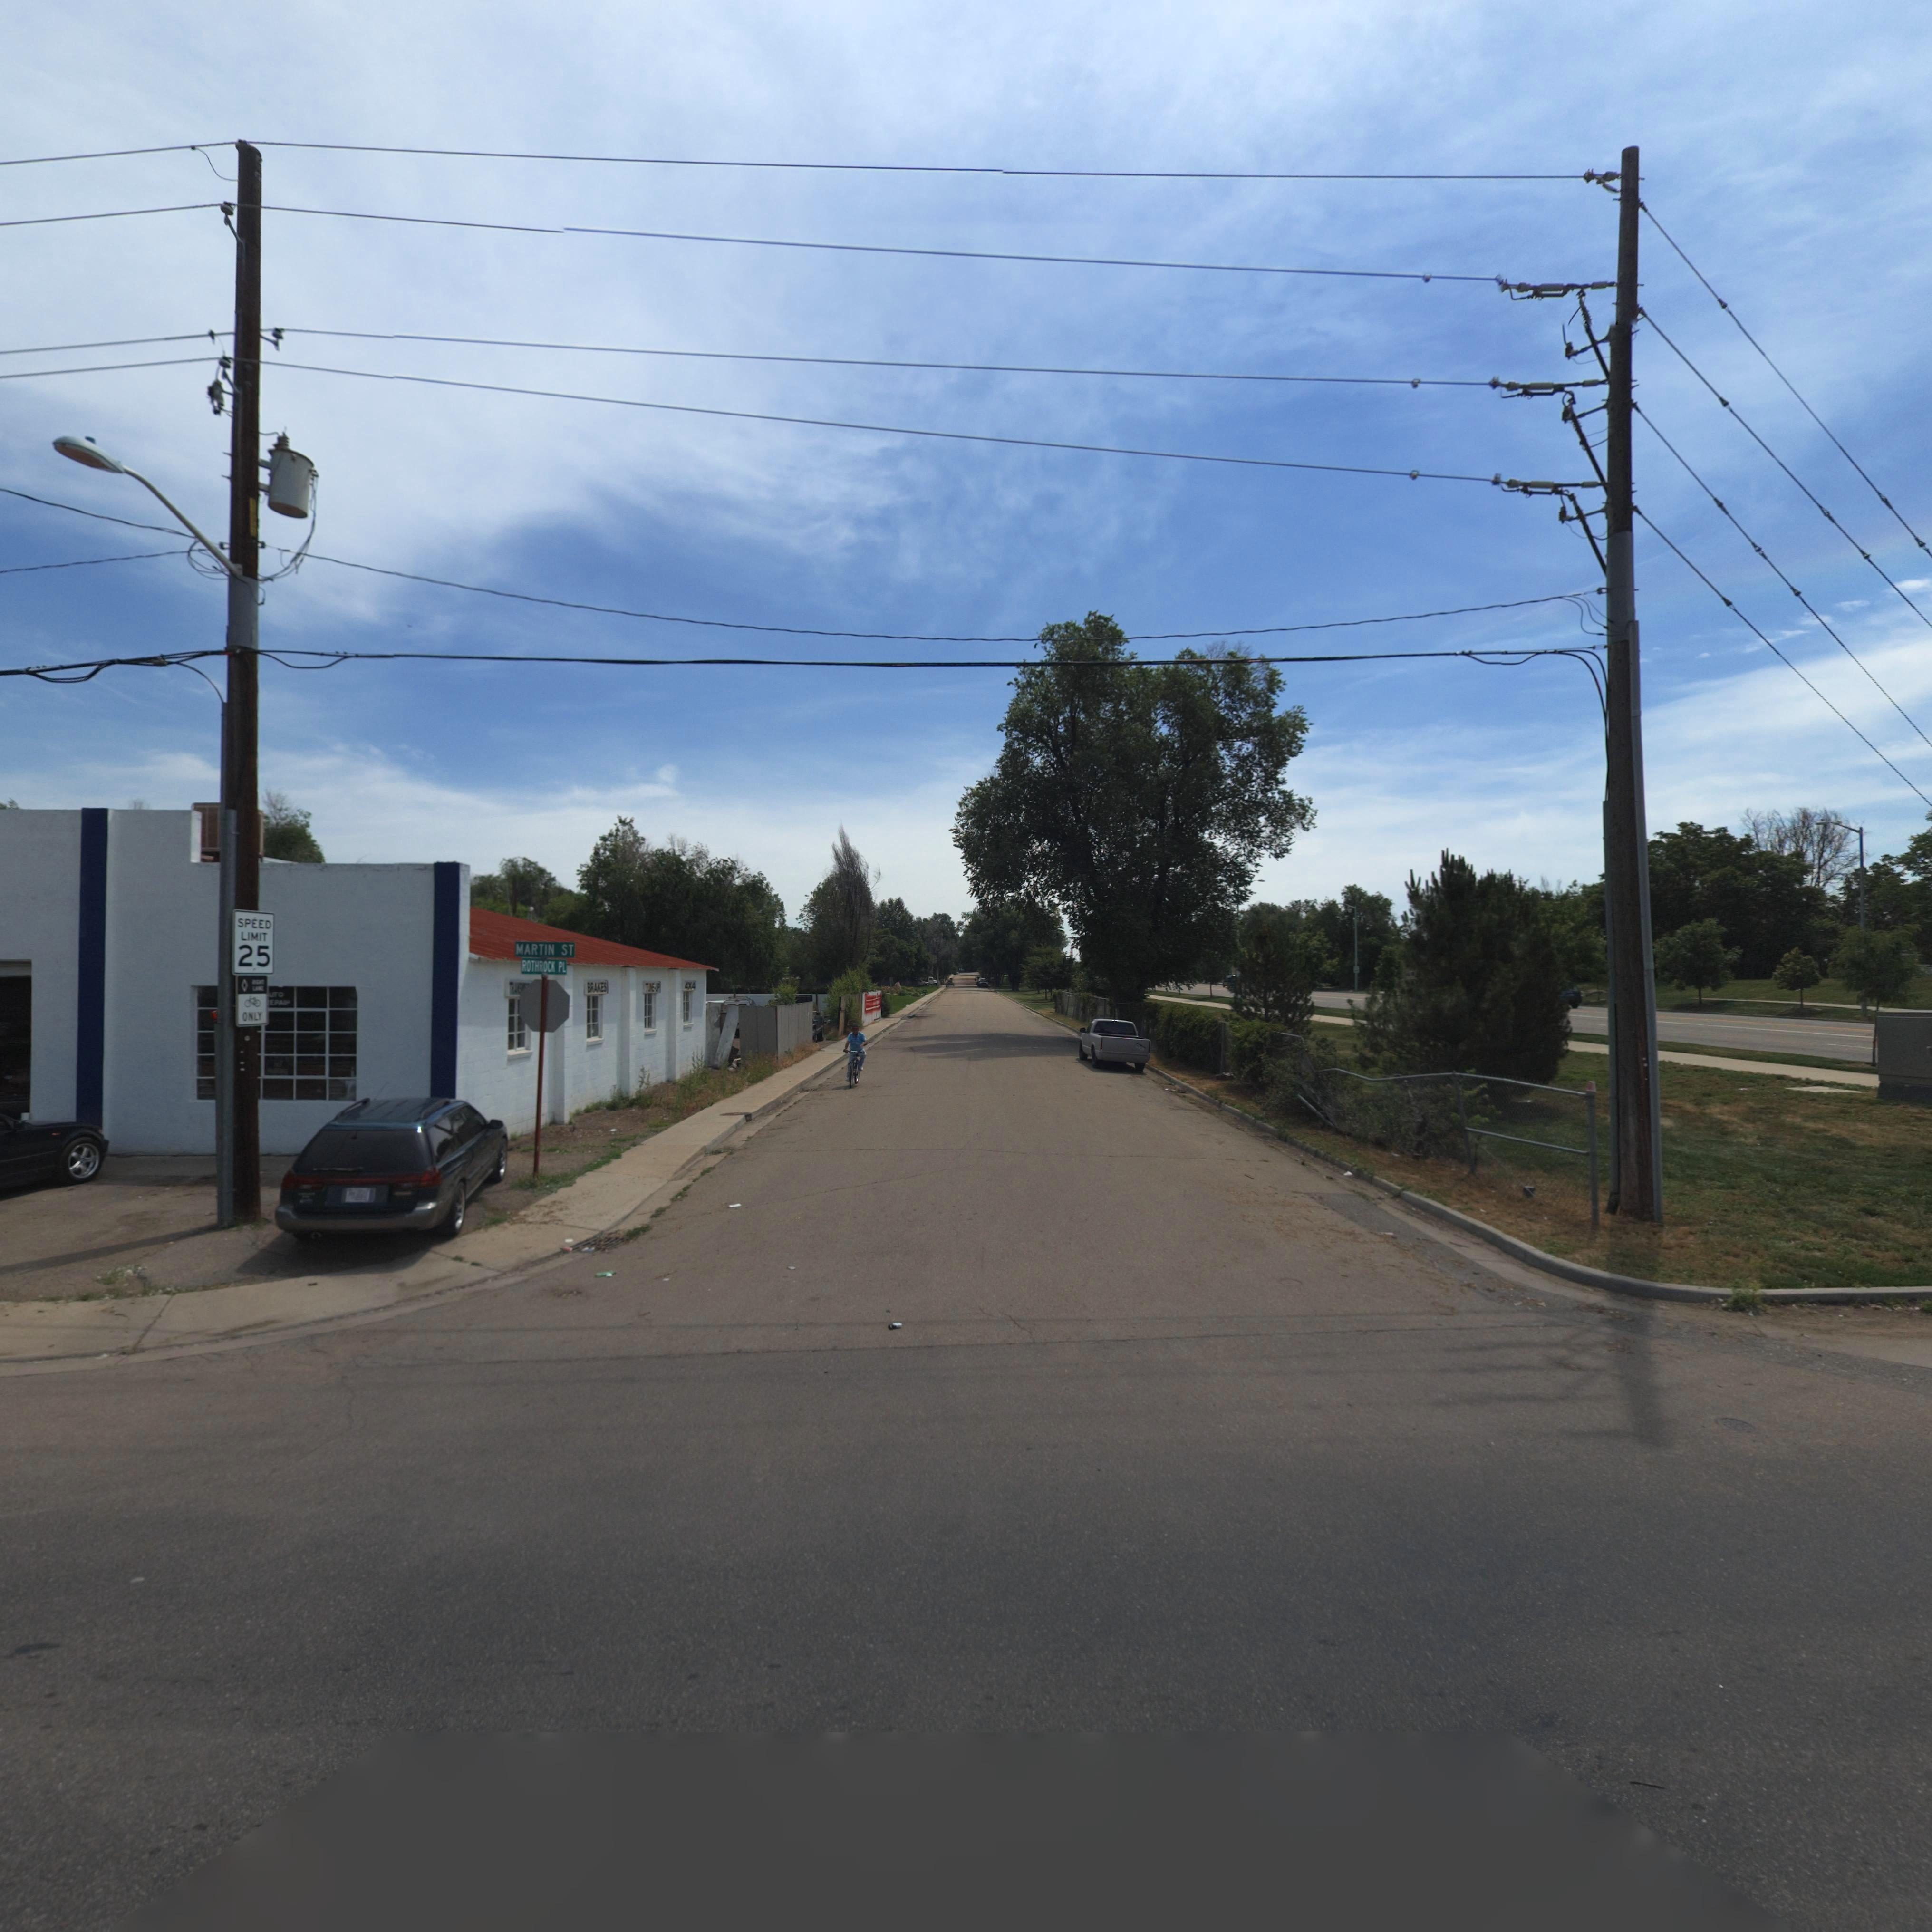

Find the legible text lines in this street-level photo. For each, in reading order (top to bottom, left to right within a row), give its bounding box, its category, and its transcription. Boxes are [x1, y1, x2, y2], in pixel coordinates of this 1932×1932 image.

[515, 942, 574, 956] StreetName: MARTIN ST
[522, 959, 567, 974] StreetName: ROCKROCK PL